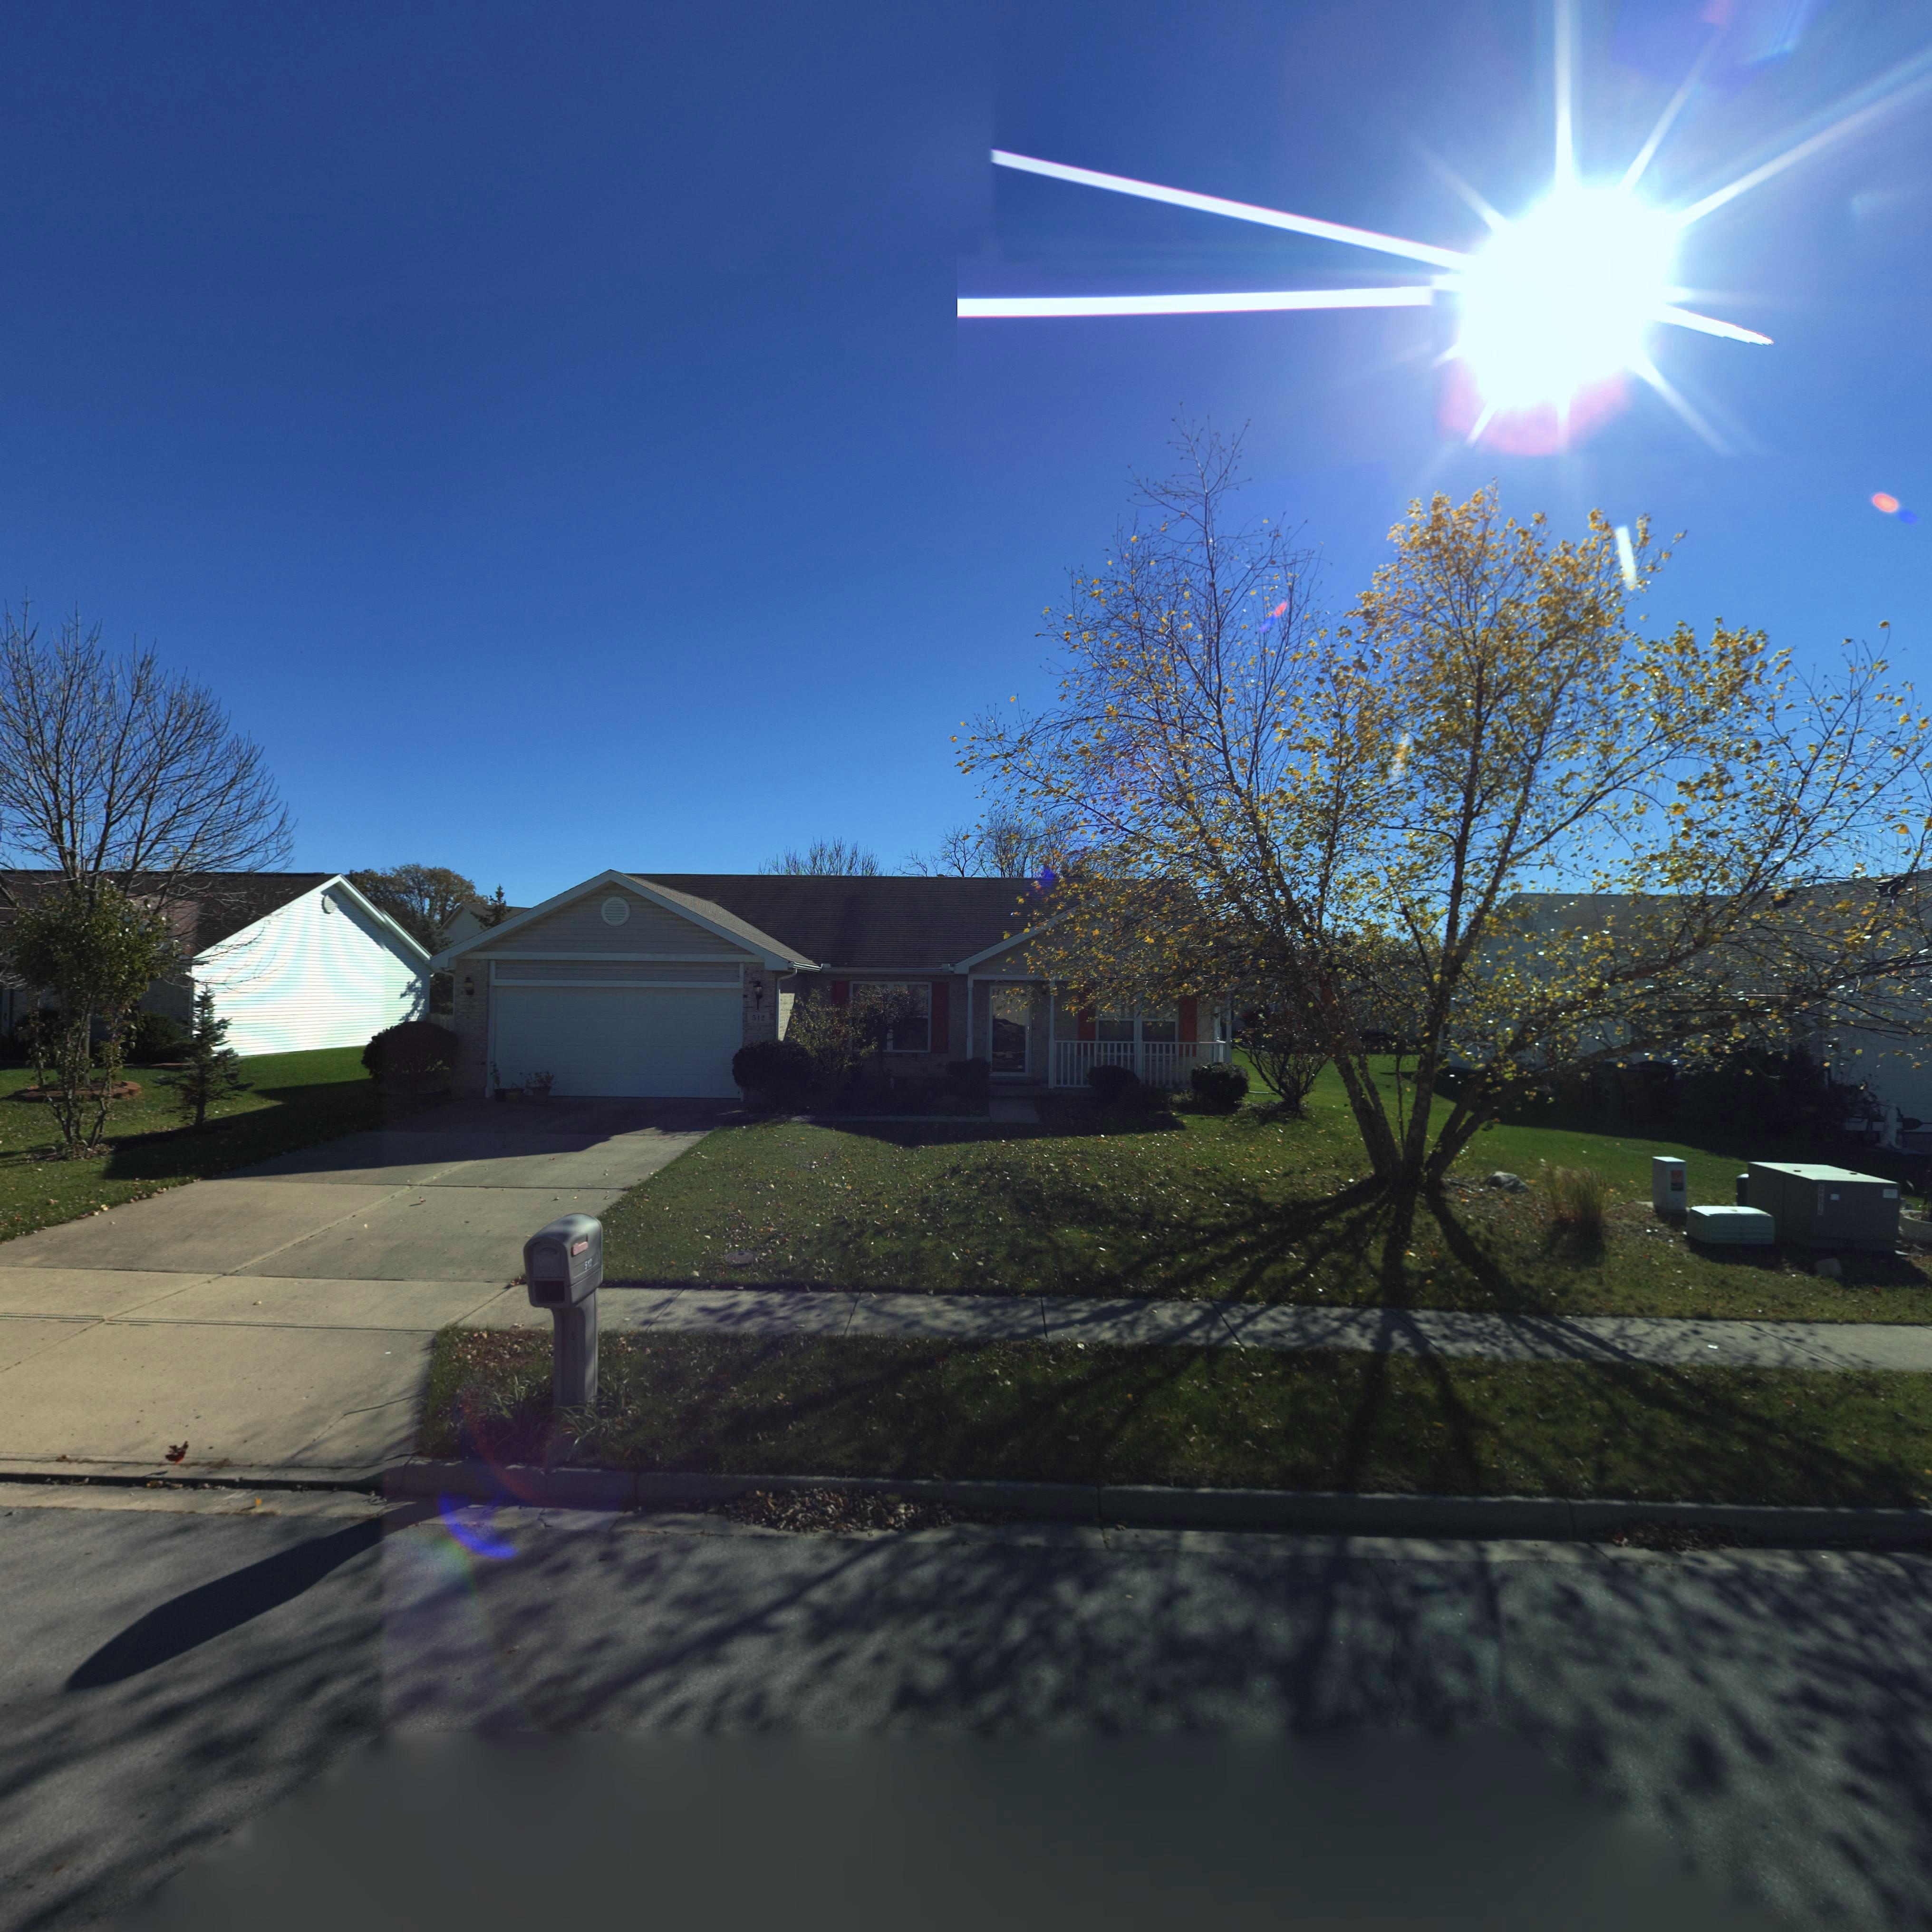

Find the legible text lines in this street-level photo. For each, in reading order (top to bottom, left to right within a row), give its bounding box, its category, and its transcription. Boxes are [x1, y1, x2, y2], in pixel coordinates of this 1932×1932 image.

[751, 1014, 766, 1022] StreetNumber: 512
[583, 1256, 593, 1272] StreetNumber: 5**